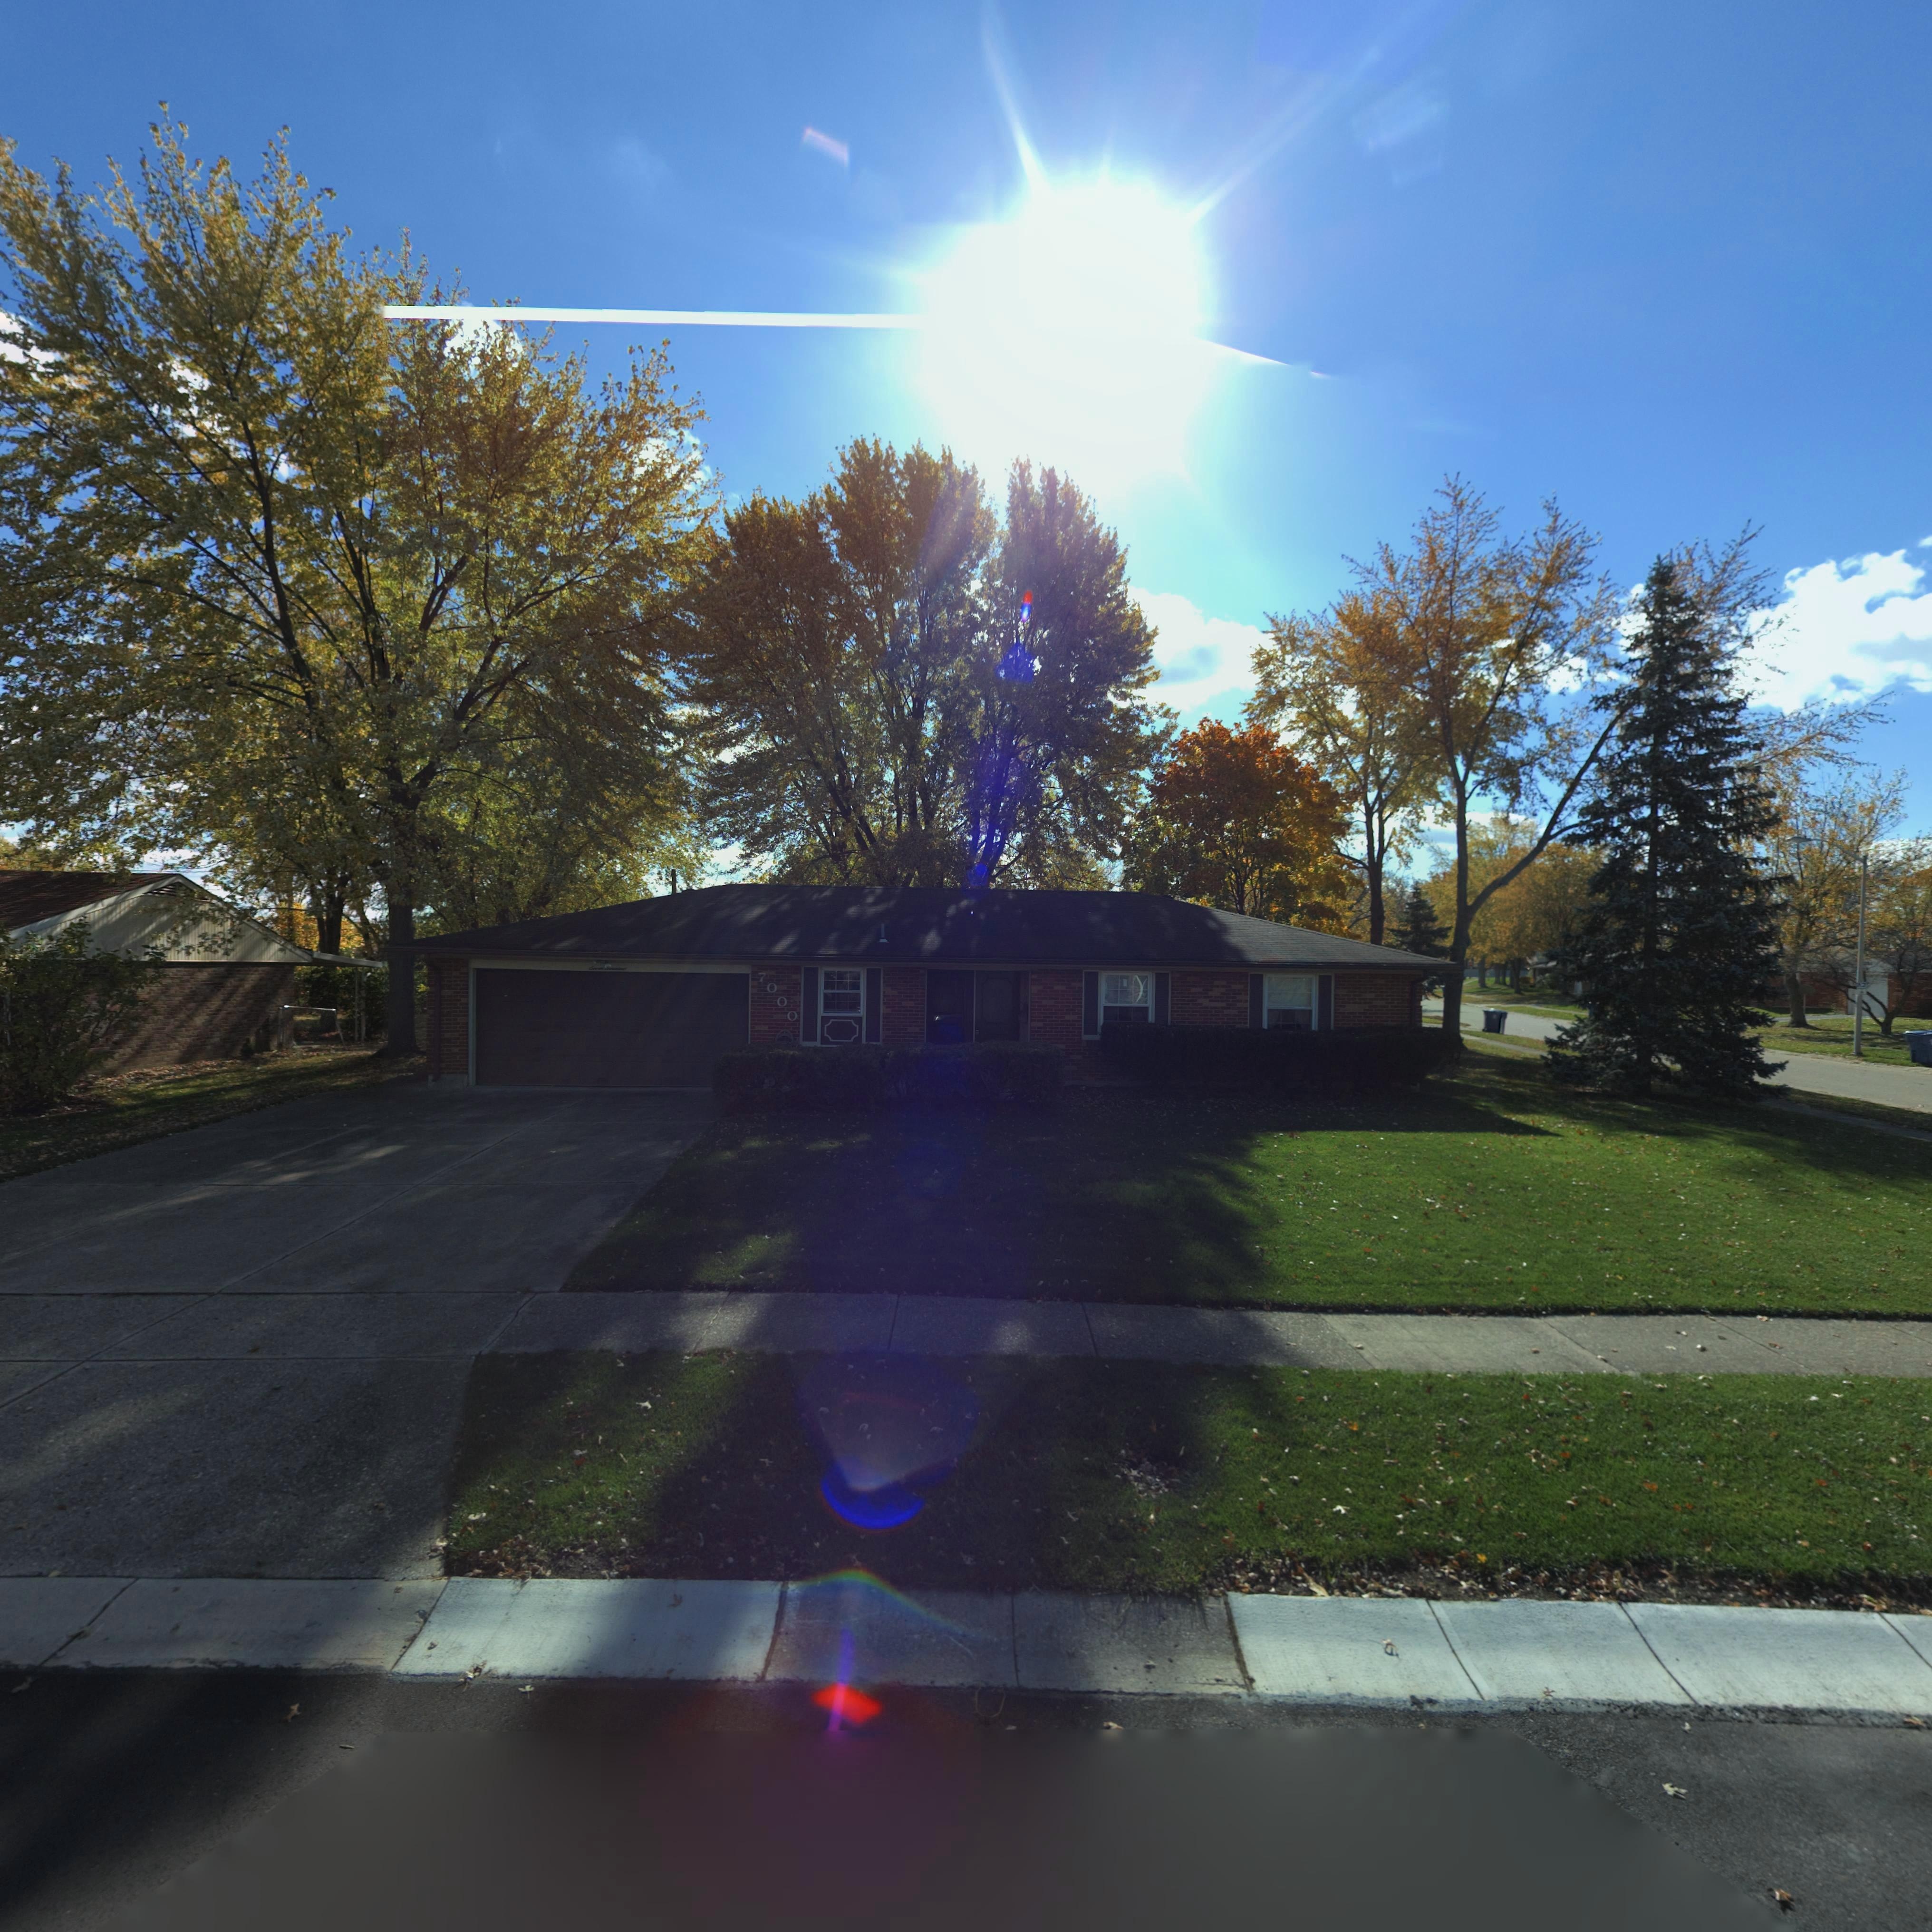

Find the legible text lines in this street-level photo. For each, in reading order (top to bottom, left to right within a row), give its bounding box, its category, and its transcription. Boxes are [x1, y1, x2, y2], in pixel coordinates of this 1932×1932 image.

[757, 972, 798, 1023] StreetNumber: 7000